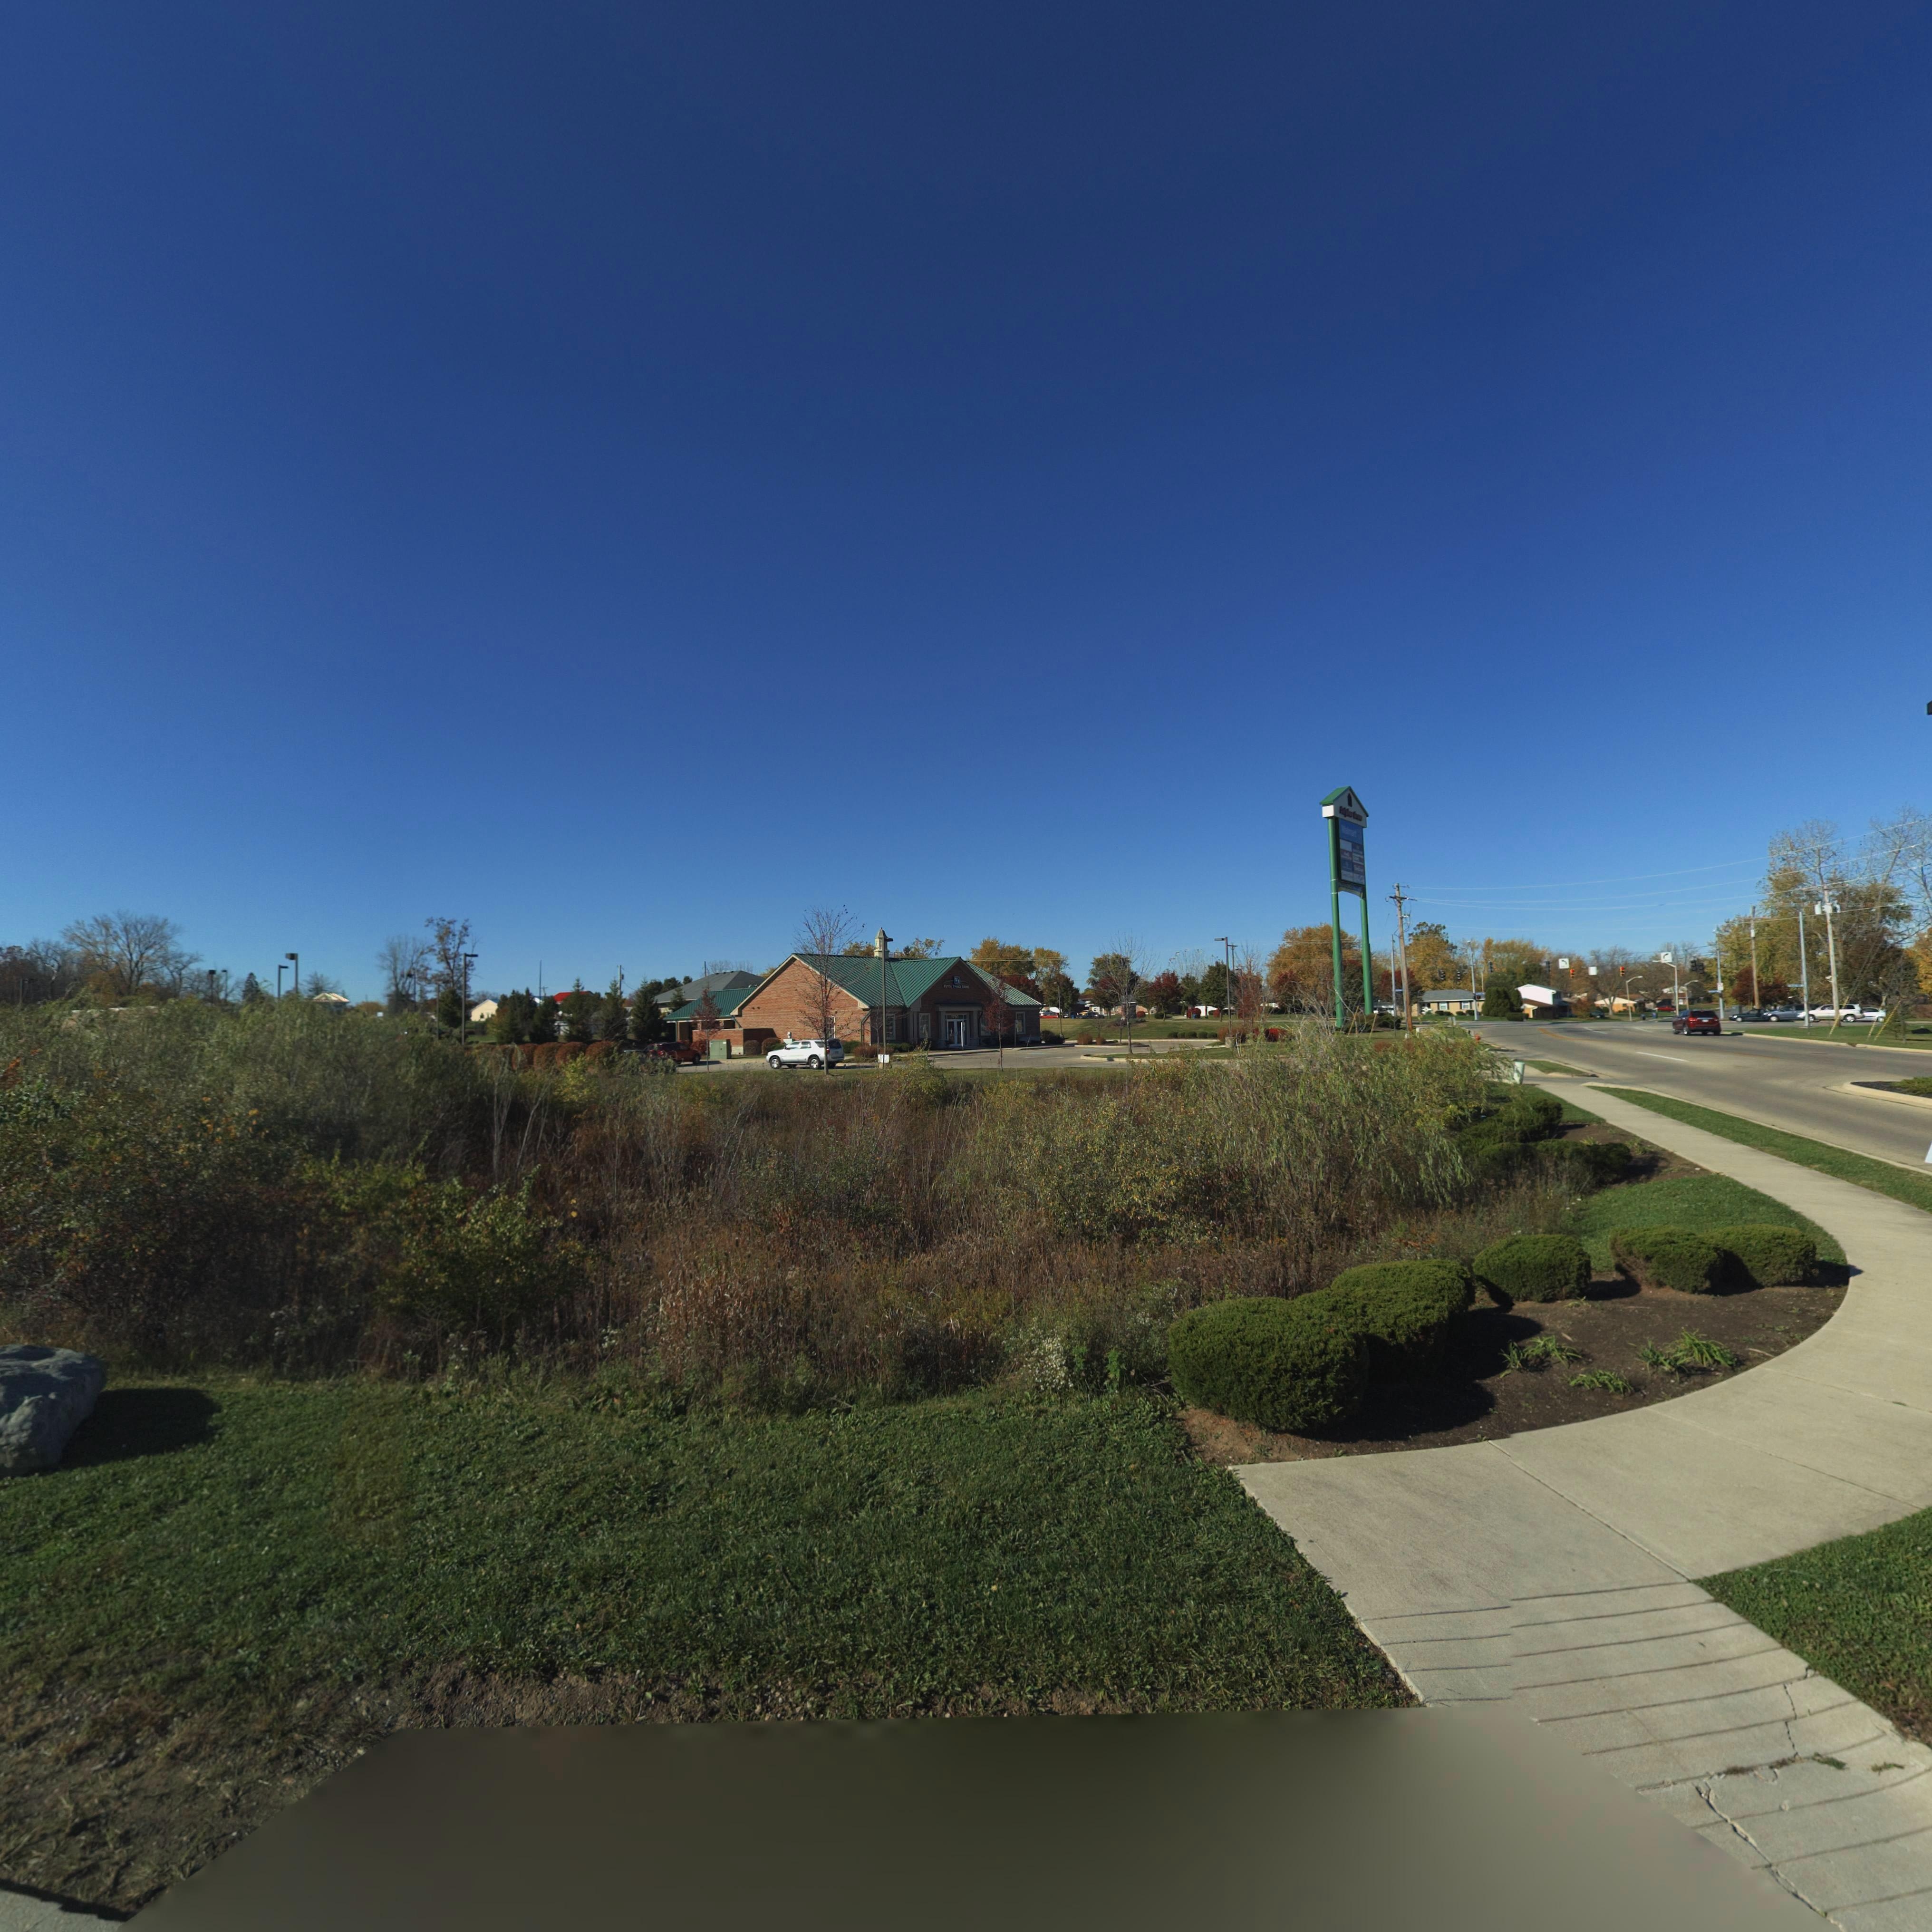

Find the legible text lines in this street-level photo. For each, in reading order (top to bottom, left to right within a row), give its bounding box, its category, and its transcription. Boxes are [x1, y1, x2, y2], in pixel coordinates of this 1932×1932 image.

[951, 1014, 959, 1019] StreetNumber: 7730